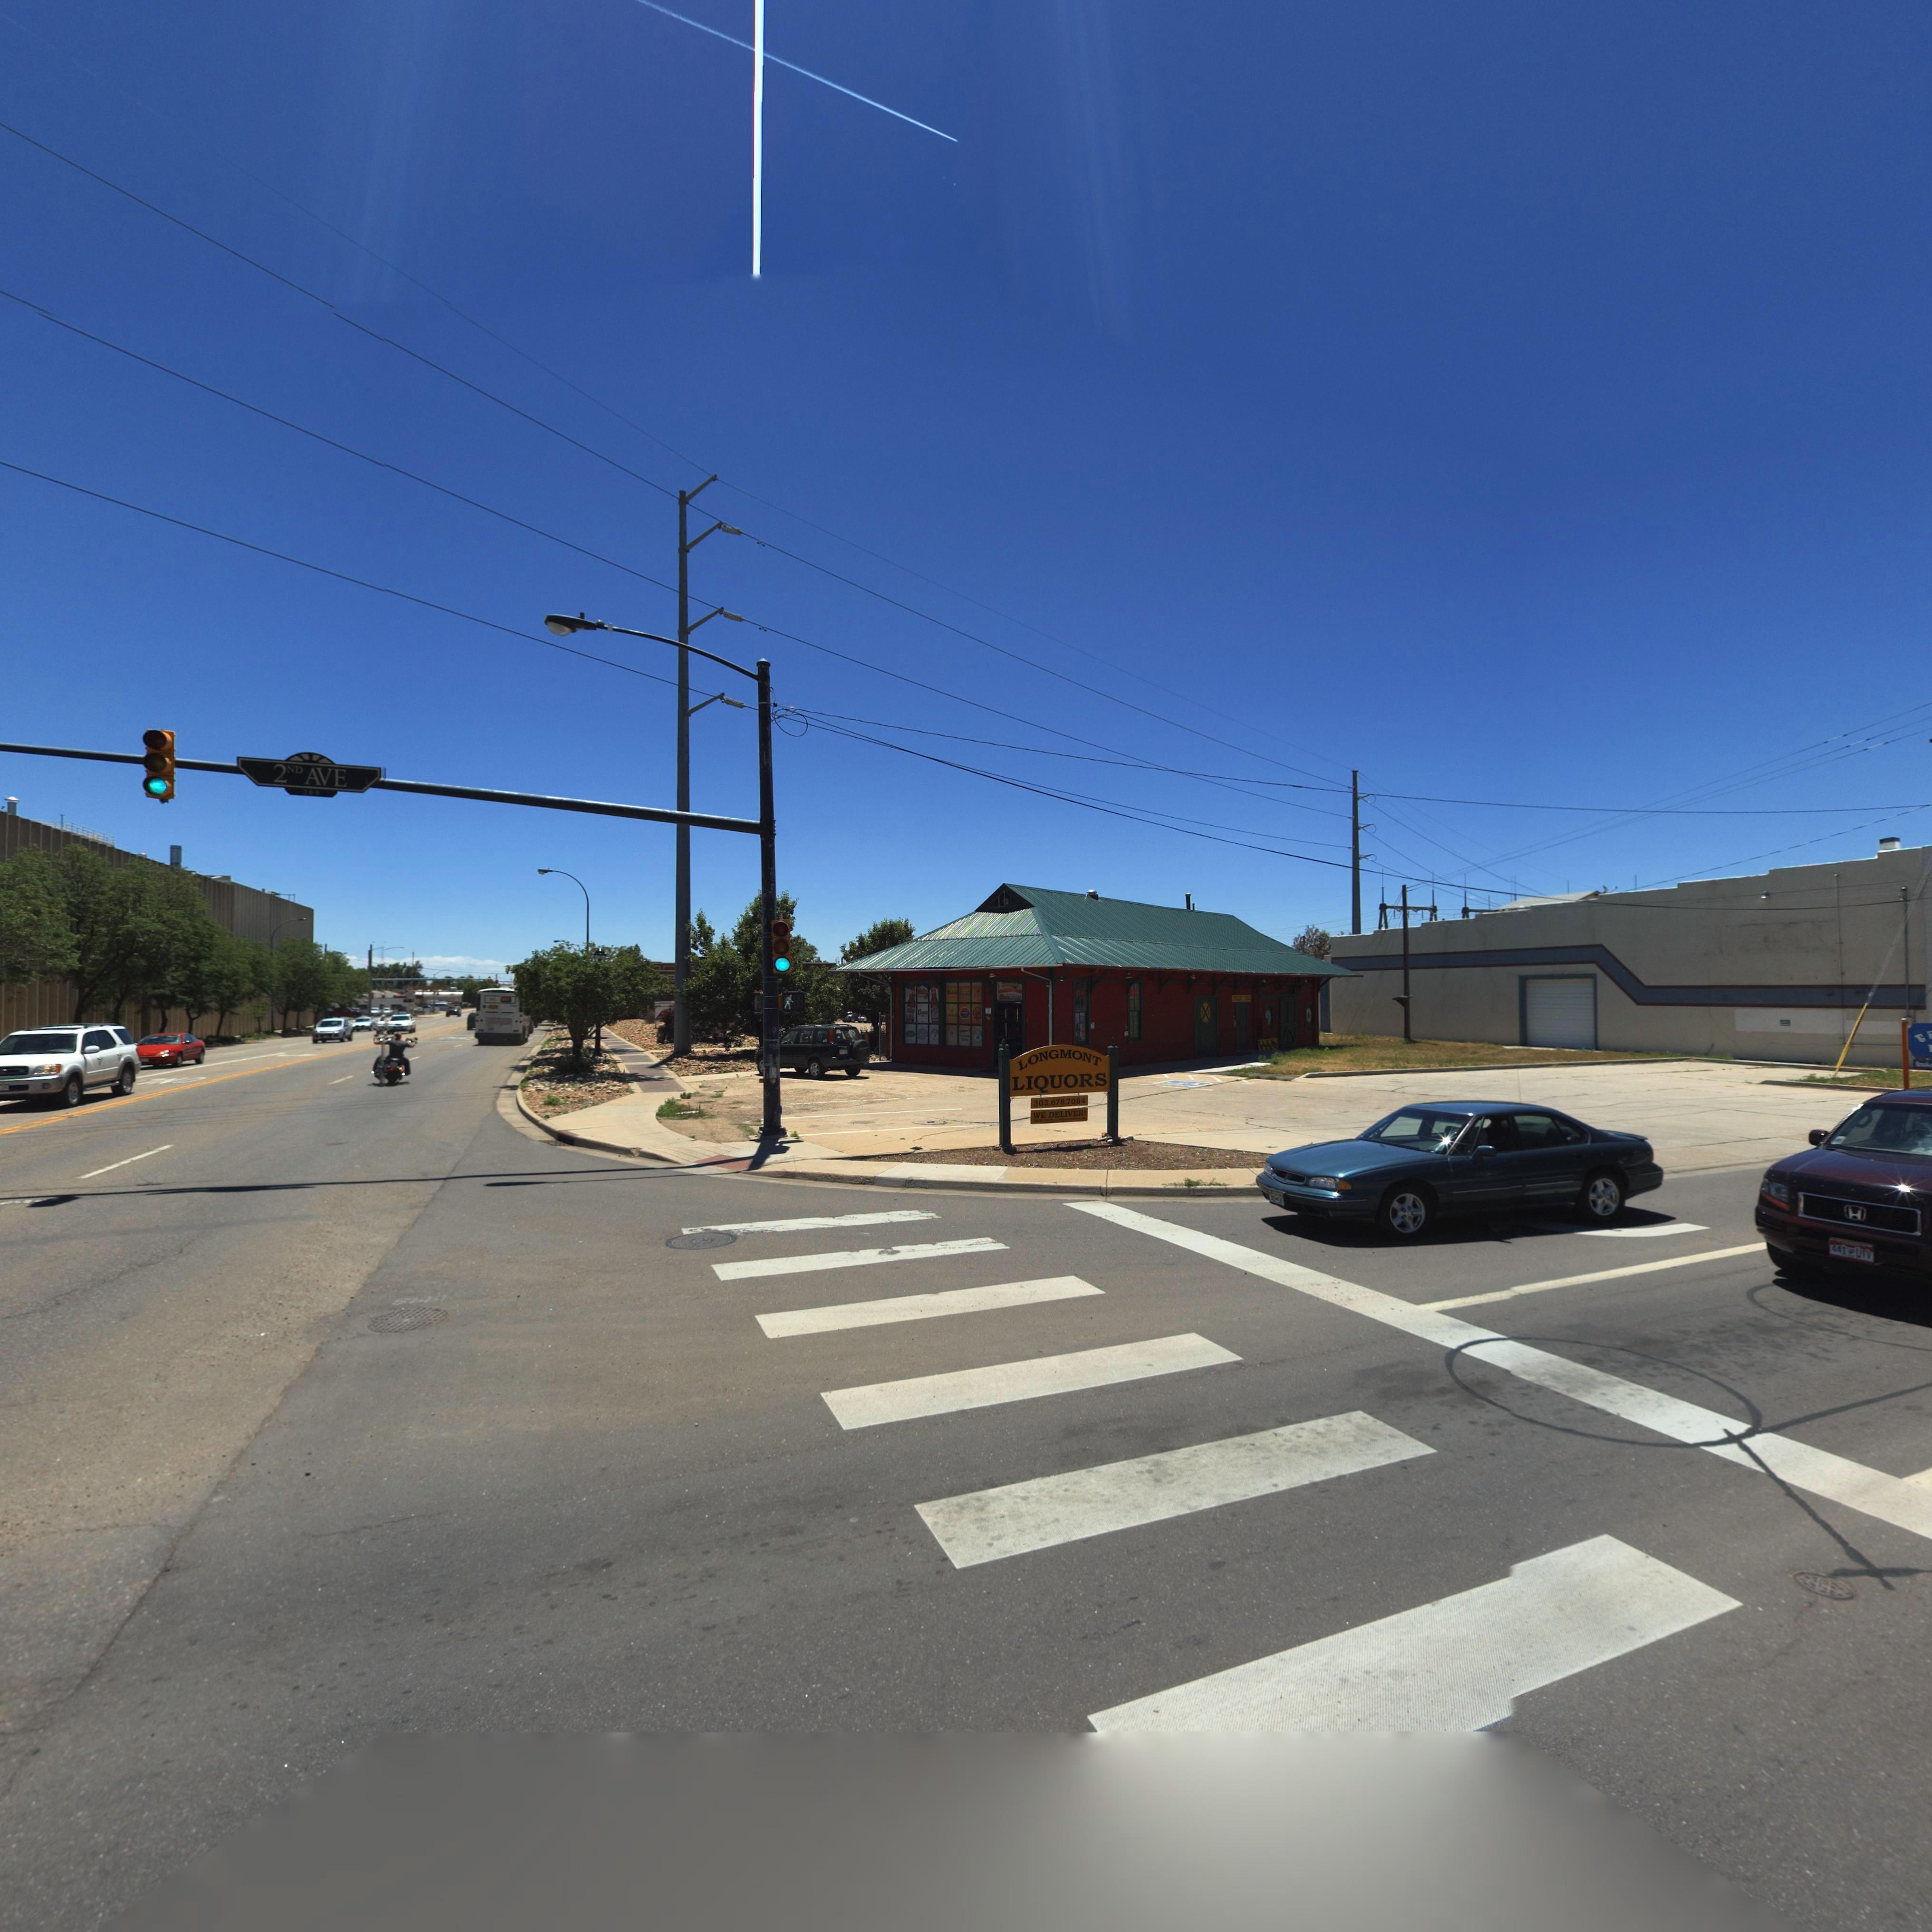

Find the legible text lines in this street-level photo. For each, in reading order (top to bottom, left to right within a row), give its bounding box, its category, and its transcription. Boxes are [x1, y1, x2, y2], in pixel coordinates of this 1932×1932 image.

[273, 763, 348, 788] StreetName: 2ND AVE
[303, 788, 319, 795] StreetNumberRange: *00
[1913, 1033, 1926, 1043] BusinessName: T
[1017, 1048, 1102, 1072] BusinessName: LONGMONT
[1012, 1072, 1107, 1093] BusinessName: LIQUORS